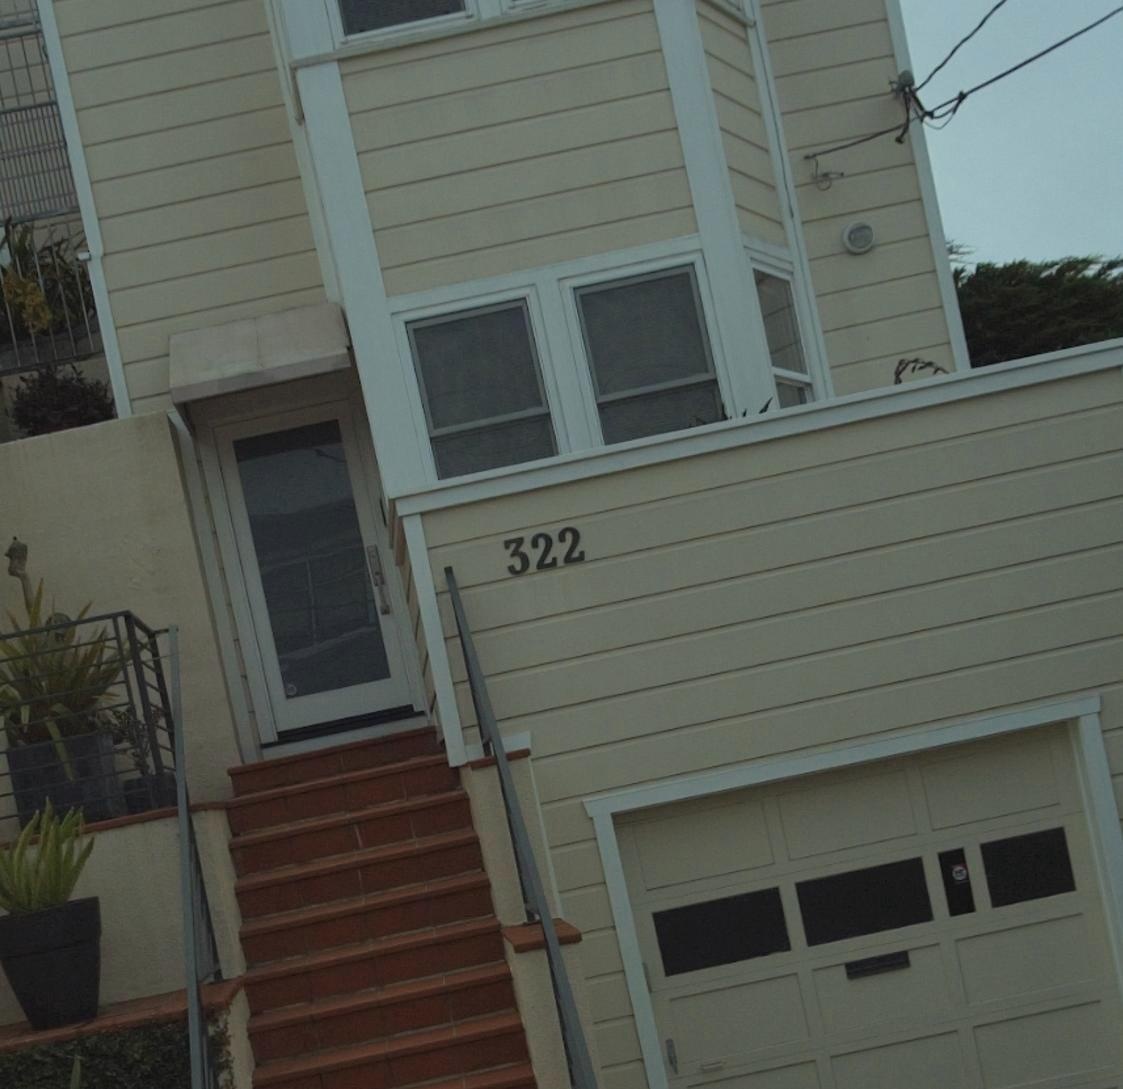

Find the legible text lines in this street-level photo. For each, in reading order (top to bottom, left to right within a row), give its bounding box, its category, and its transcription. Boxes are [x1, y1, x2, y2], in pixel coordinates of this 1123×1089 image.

[502, 522, 586, 578] StreetNumber: 322